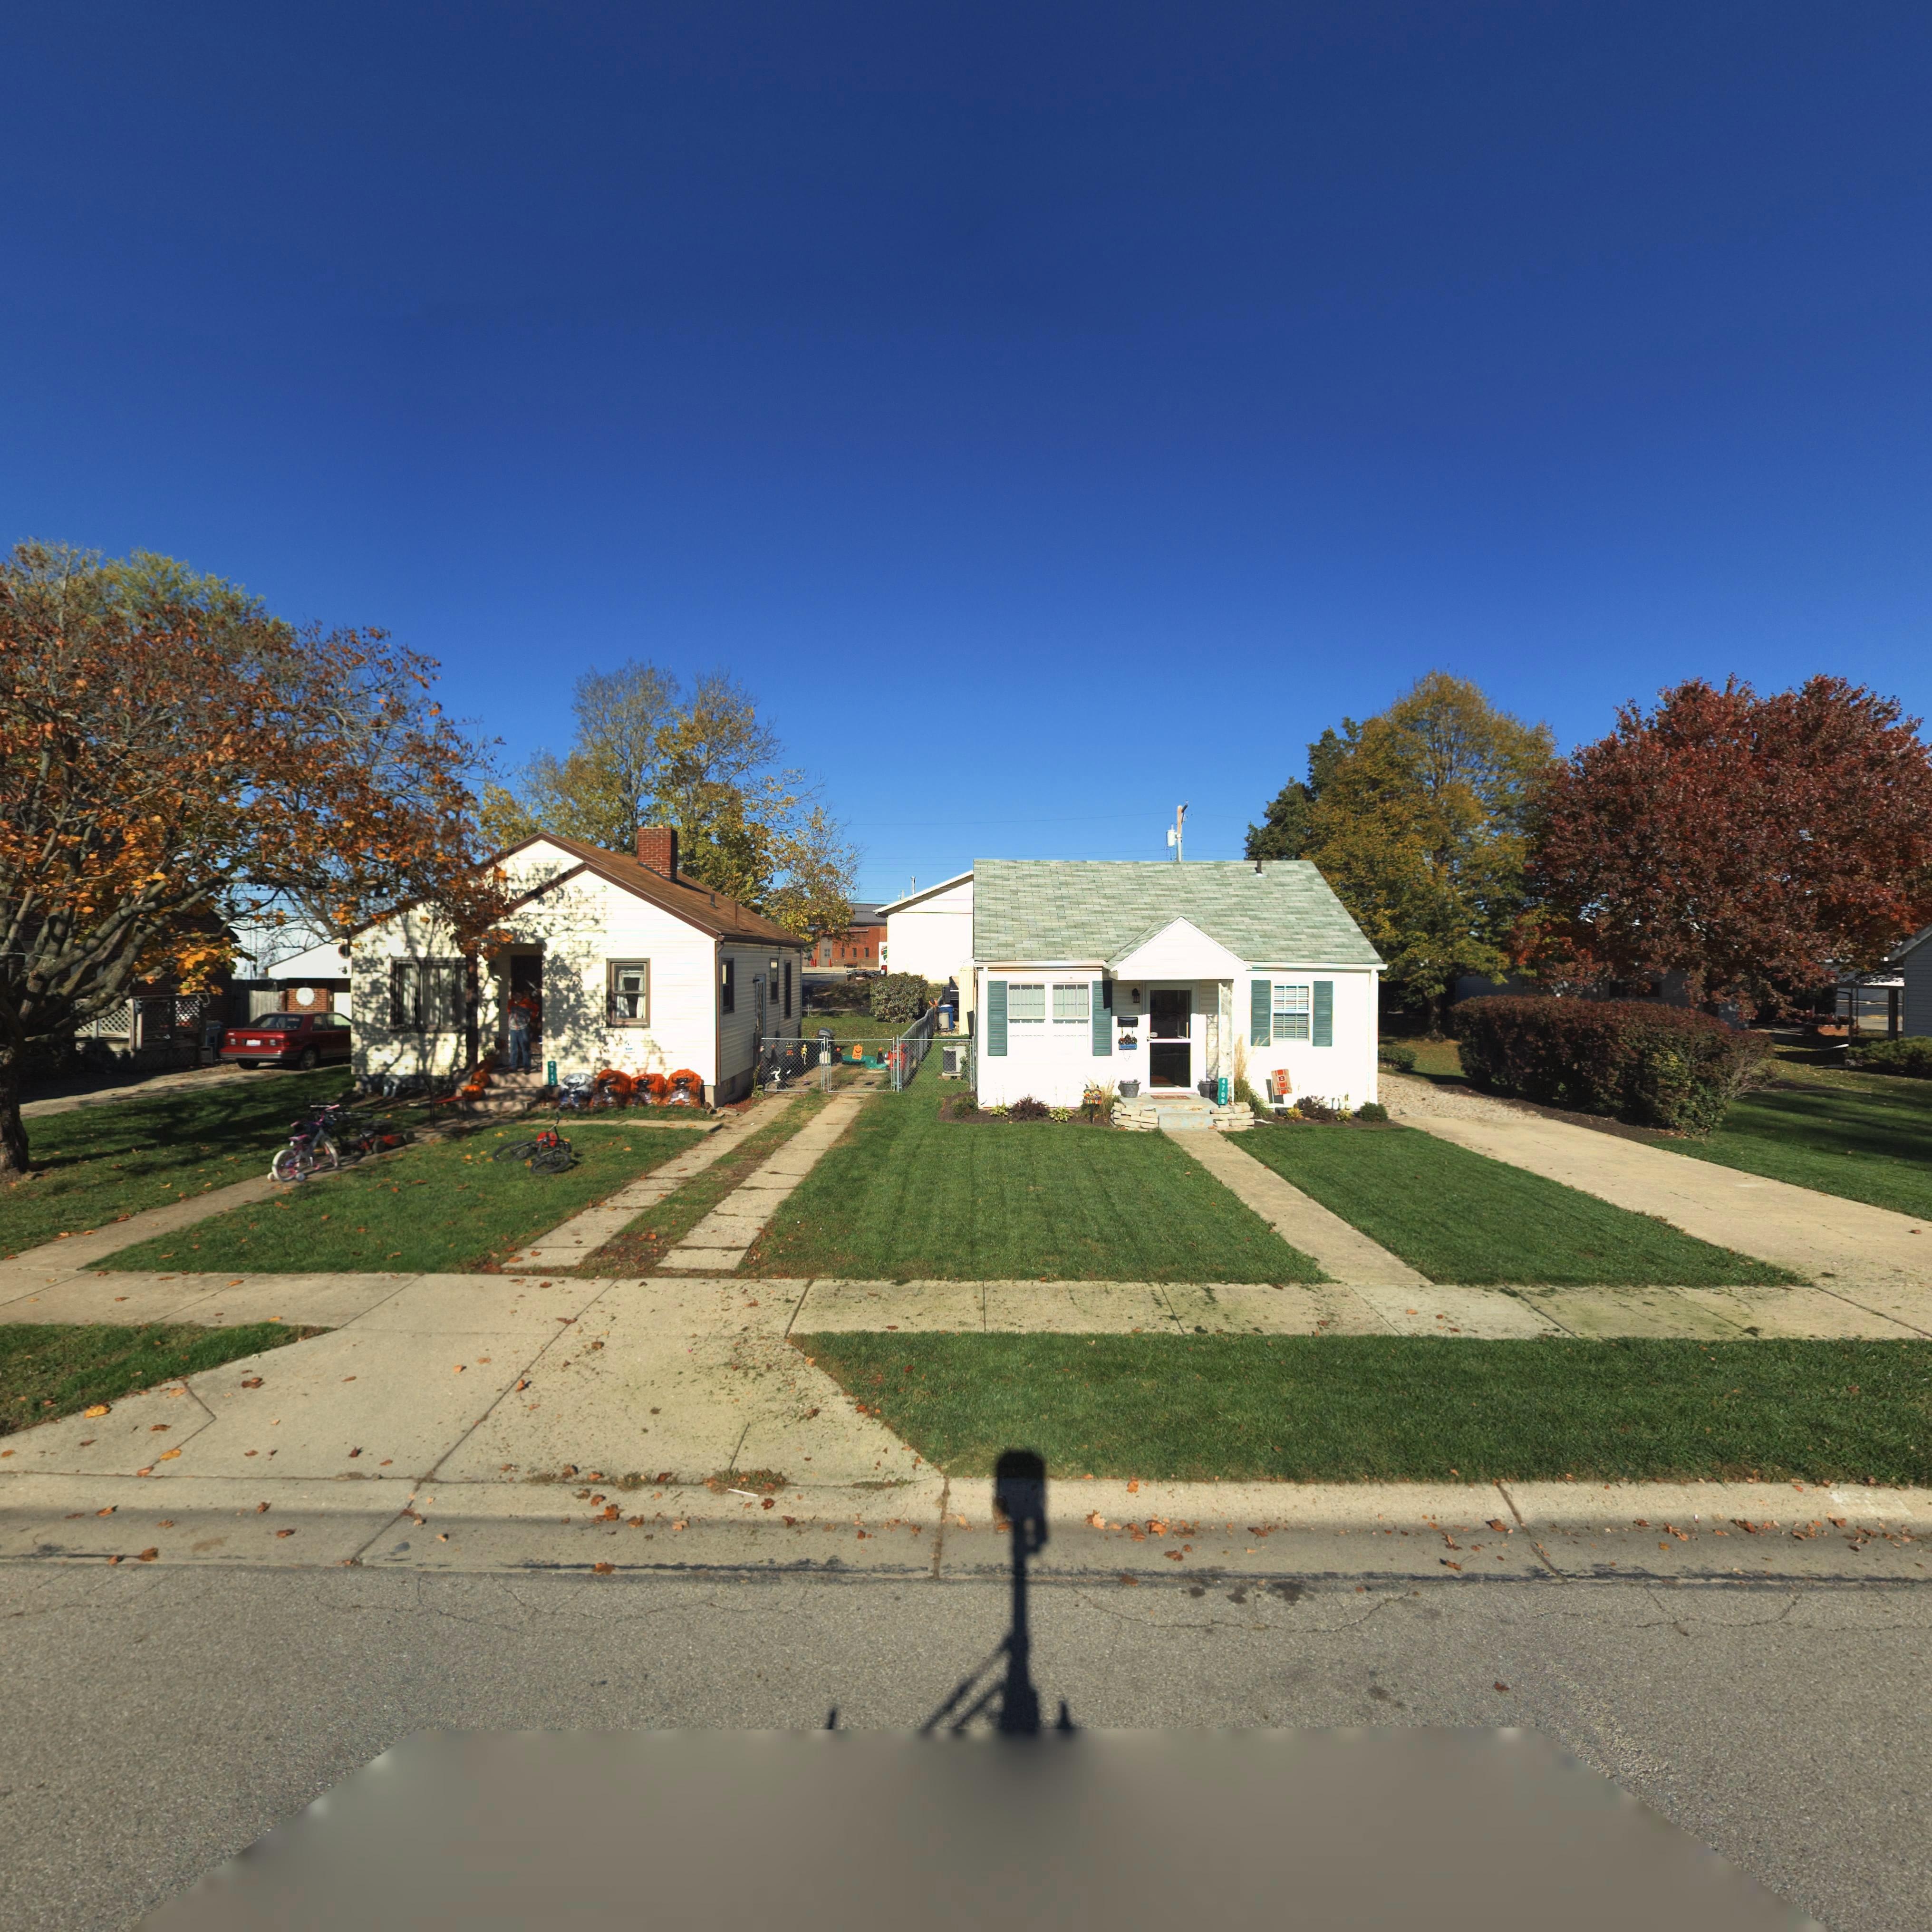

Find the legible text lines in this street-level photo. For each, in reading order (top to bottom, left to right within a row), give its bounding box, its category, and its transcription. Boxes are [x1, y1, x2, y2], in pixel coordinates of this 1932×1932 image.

[549, 1061, 555, 1087] StreetNumber: 471*
[1220, 1077, 1226, 1105] StreetNumber: 4709